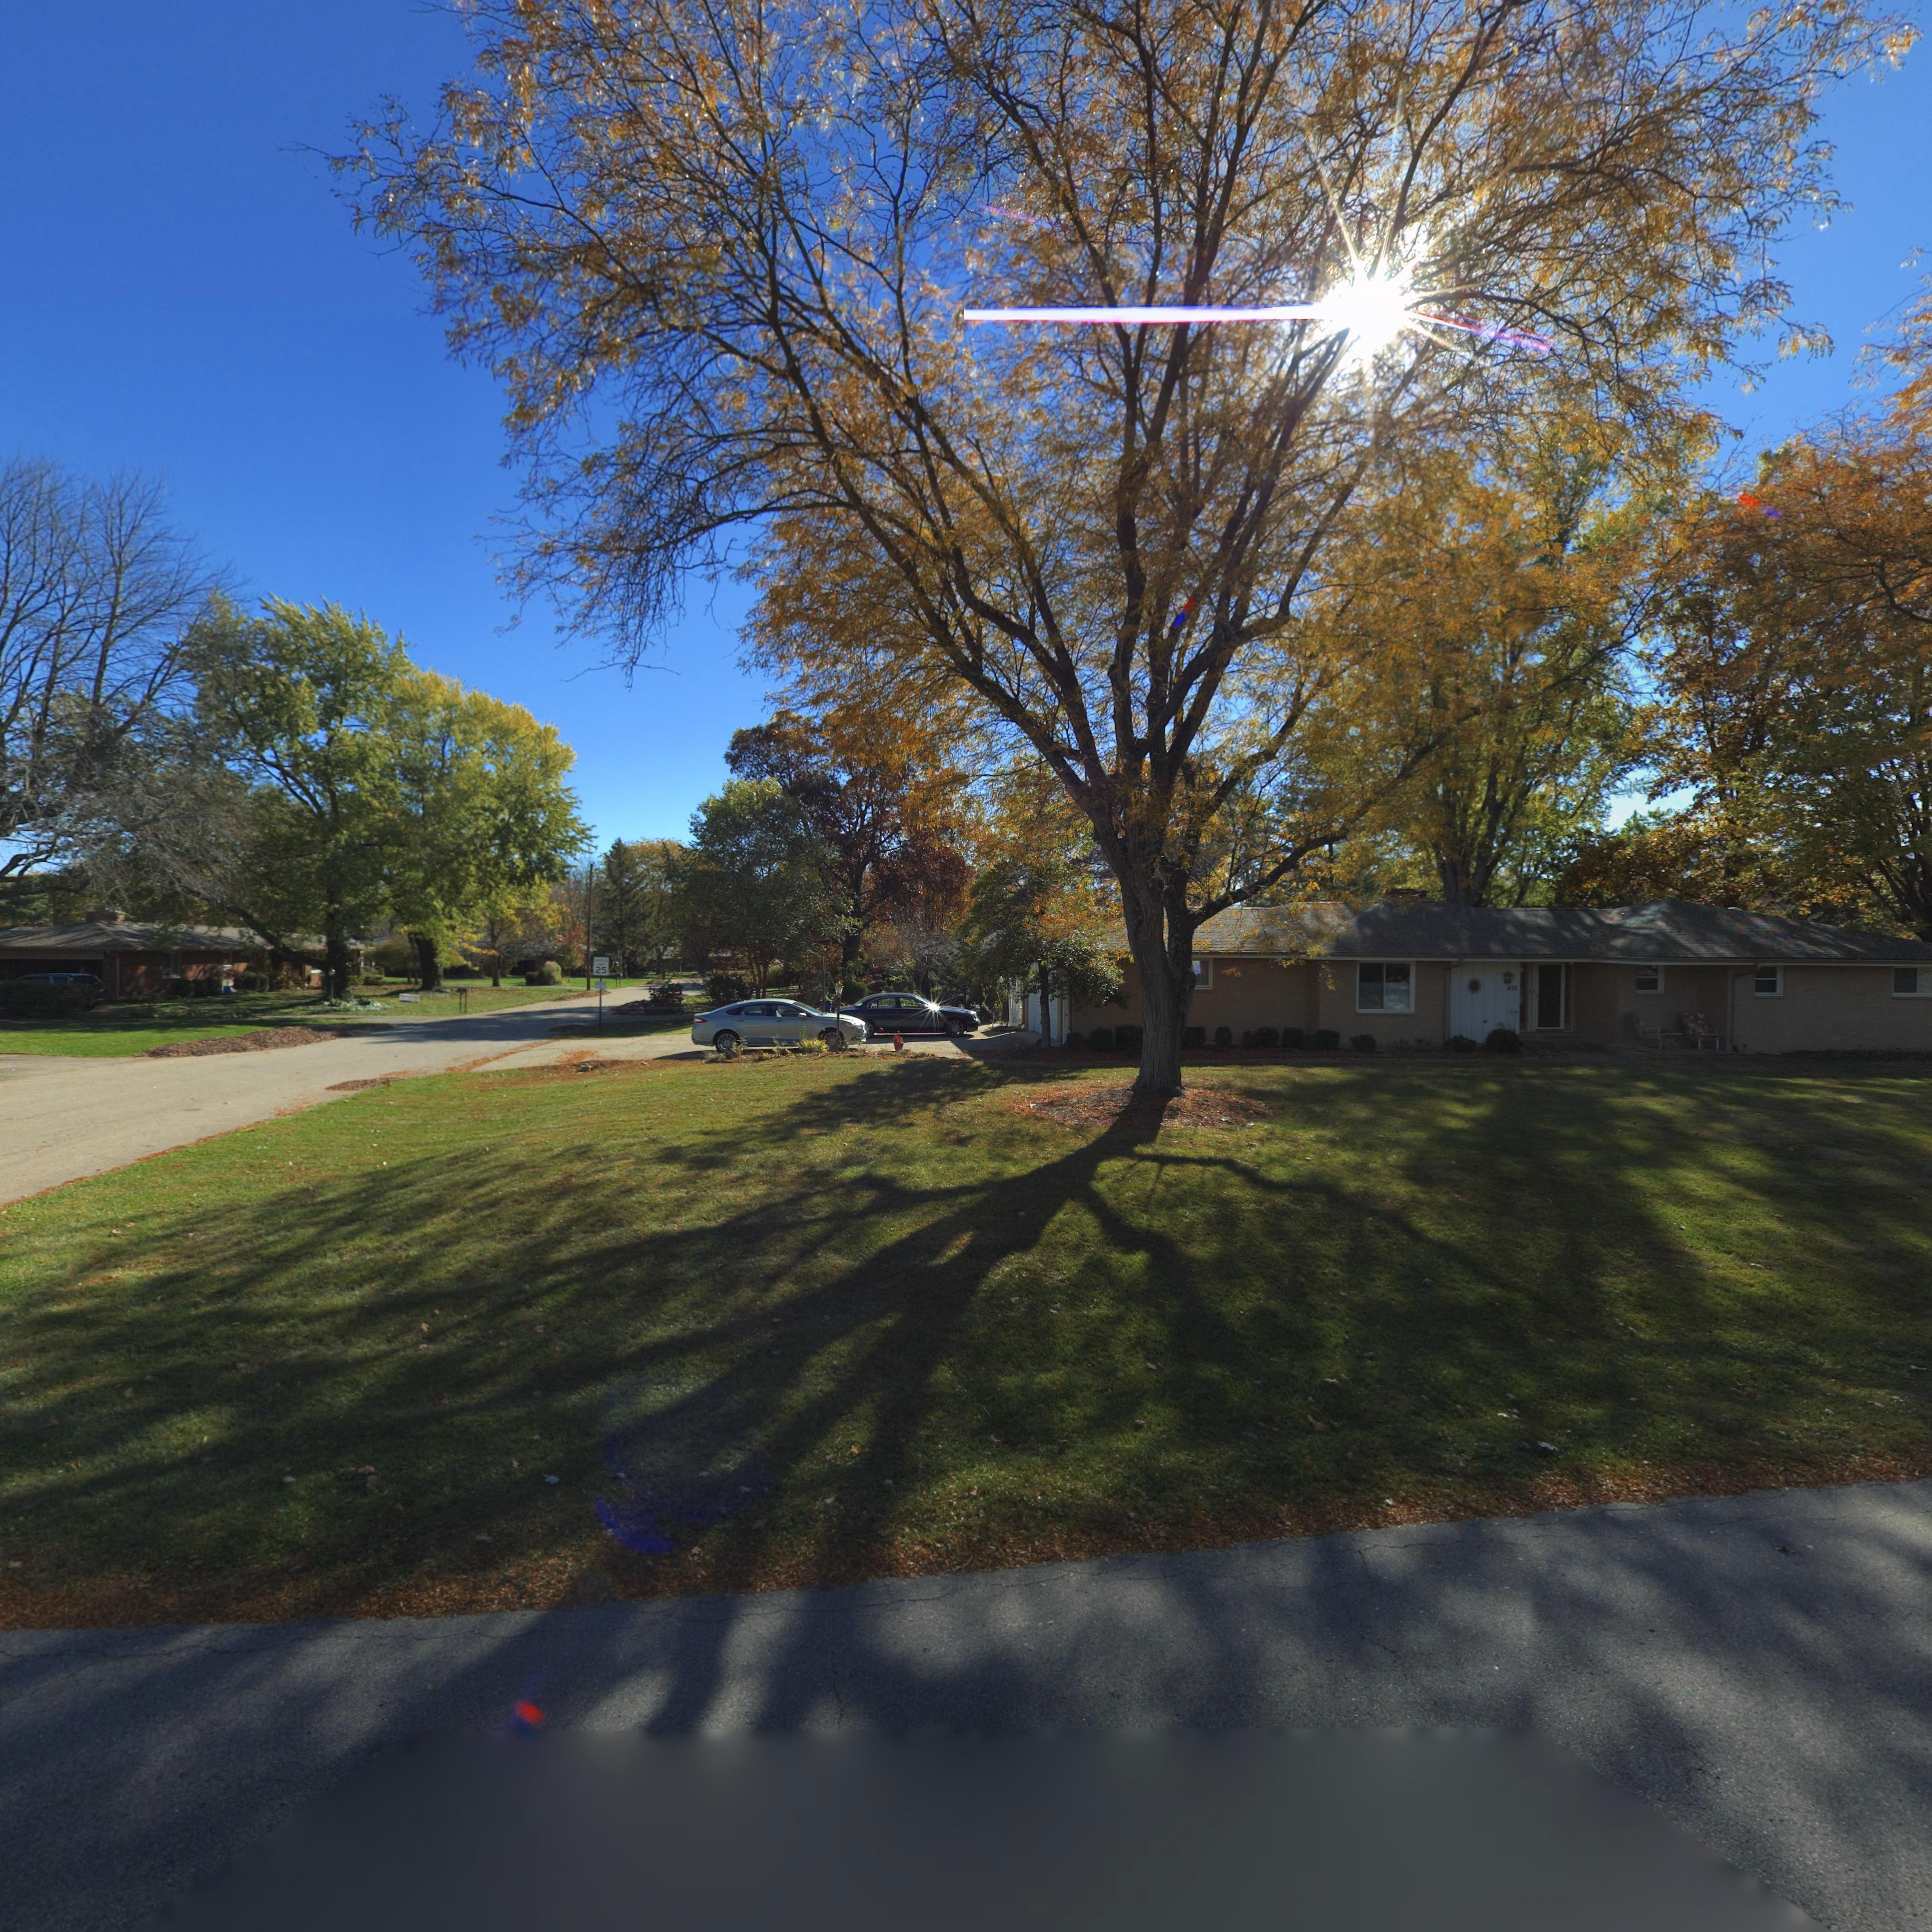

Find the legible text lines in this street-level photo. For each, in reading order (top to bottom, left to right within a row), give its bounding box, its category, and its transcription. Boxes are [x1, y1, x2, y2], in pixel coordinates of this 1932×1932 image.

[594, 966, 608, 974] None: 25
[1506, 985, 1518, 992] StreetNumber: 432